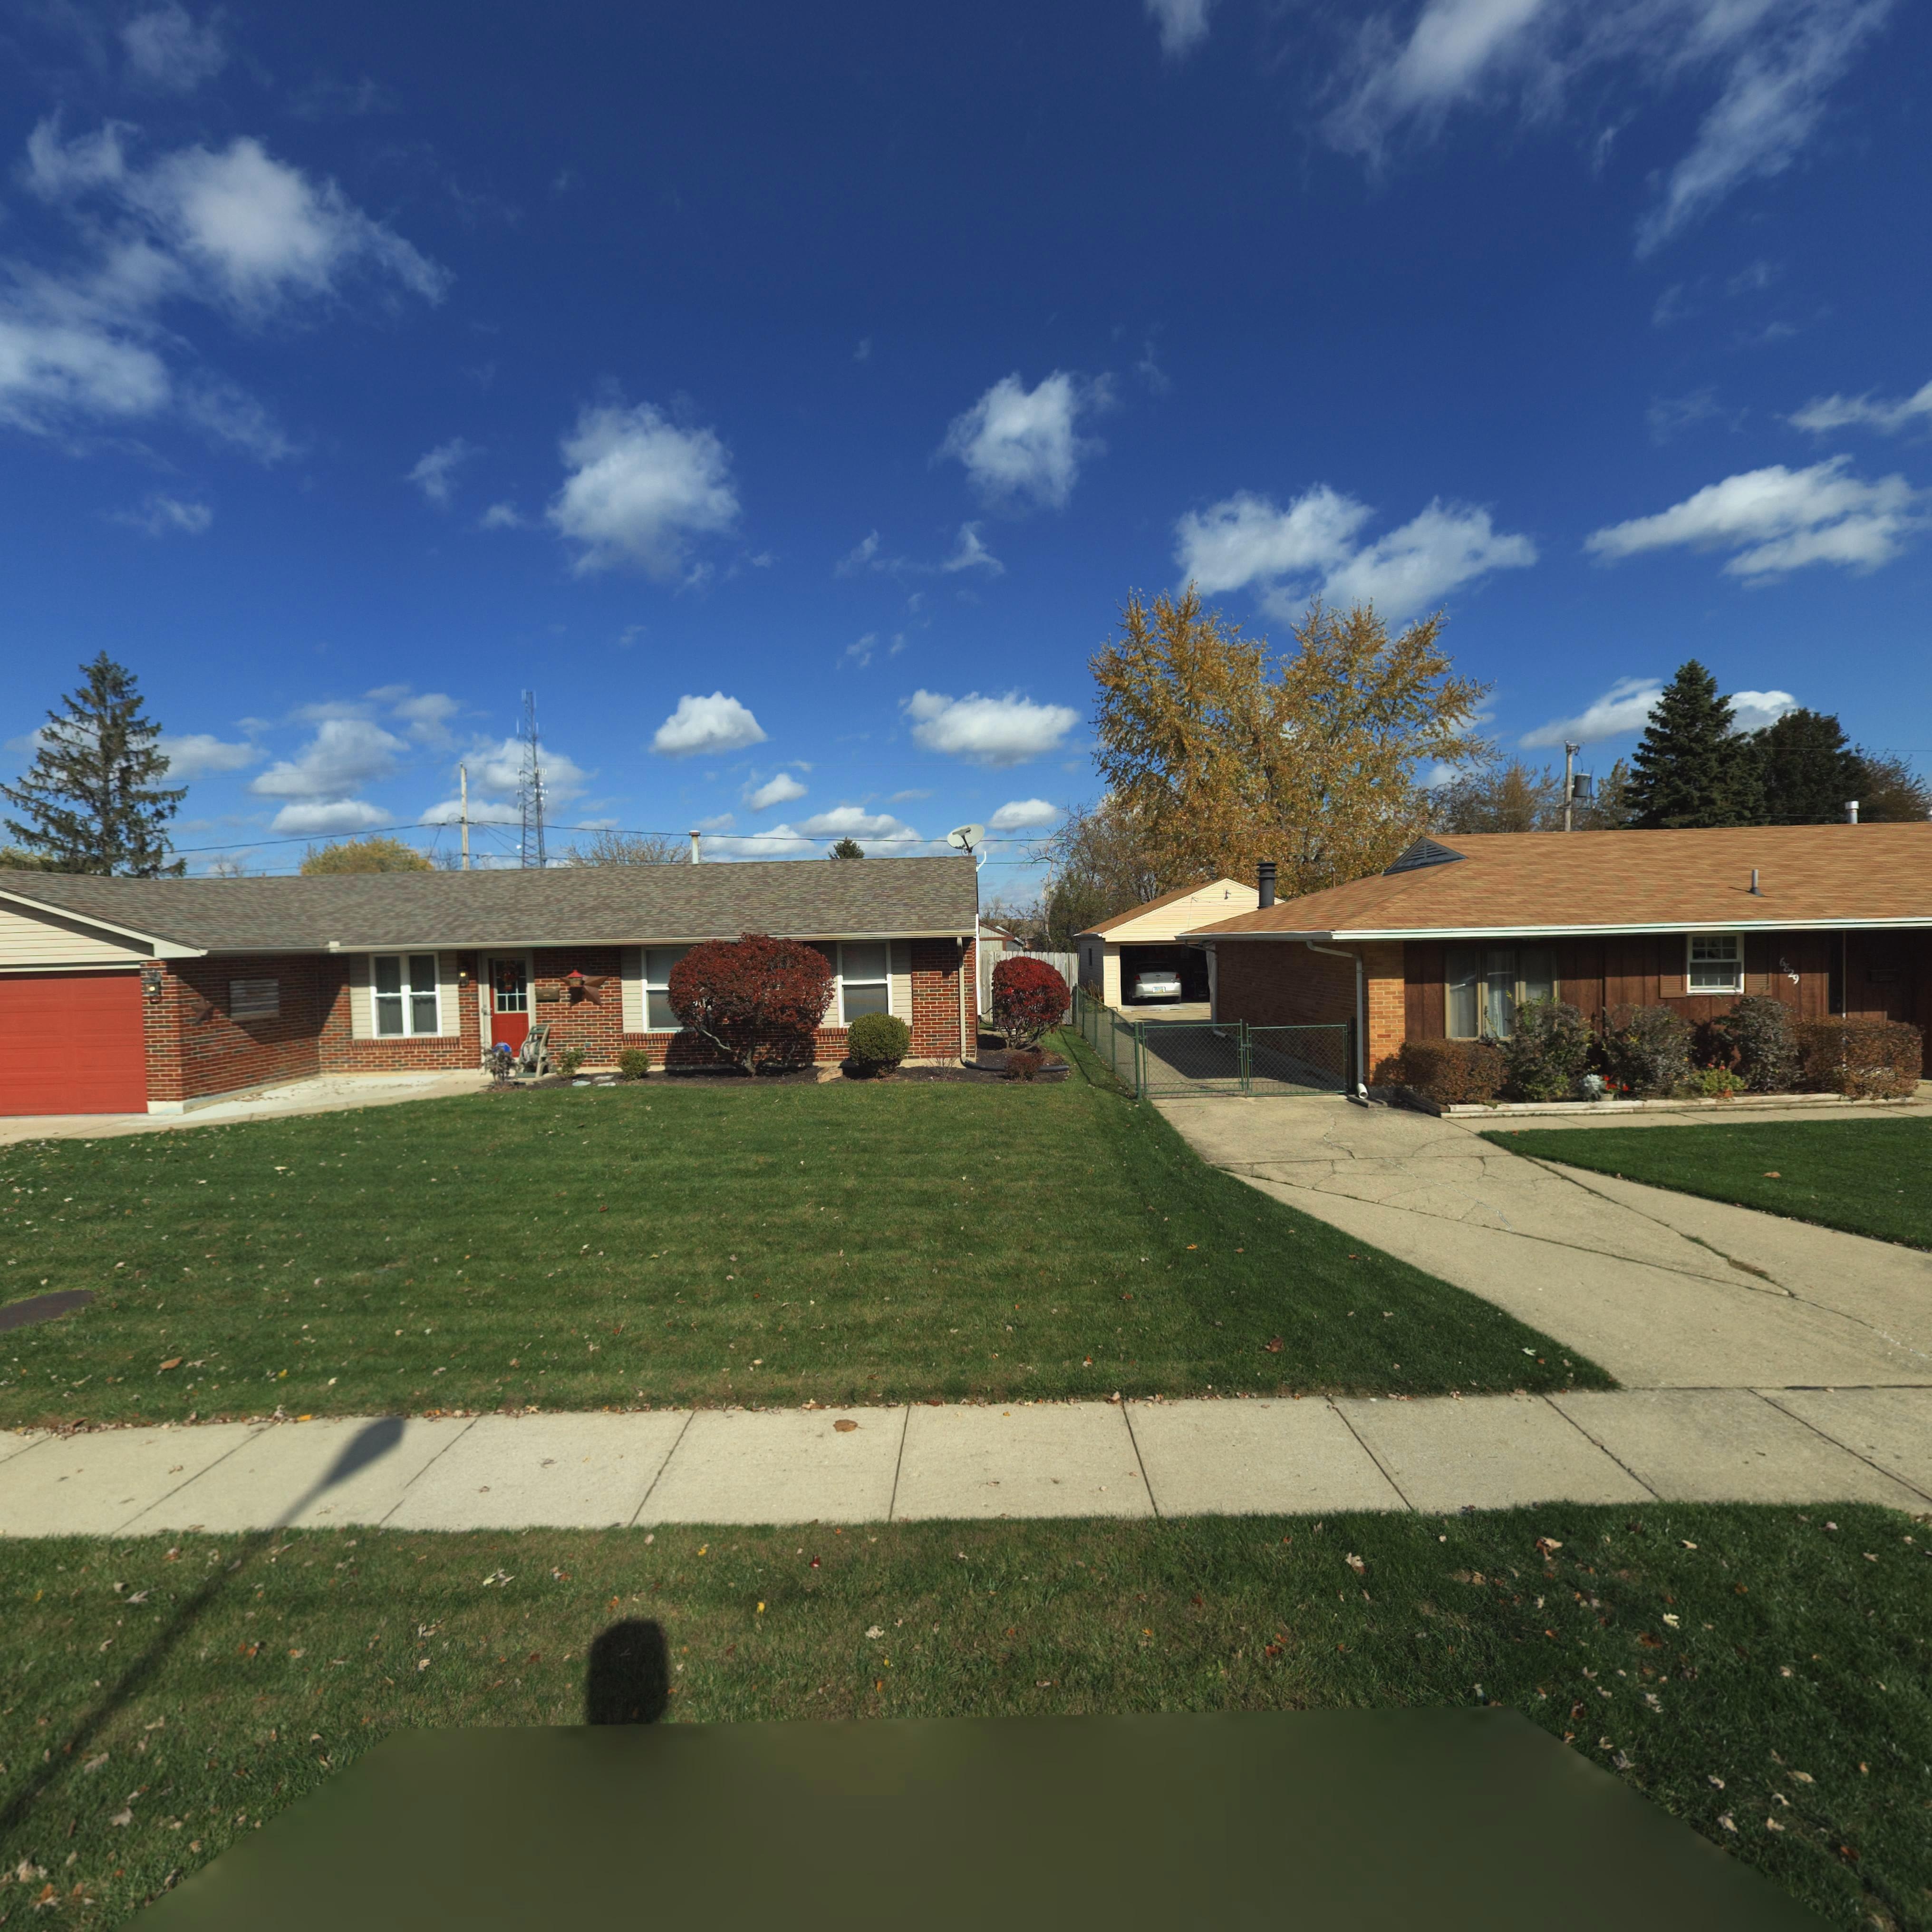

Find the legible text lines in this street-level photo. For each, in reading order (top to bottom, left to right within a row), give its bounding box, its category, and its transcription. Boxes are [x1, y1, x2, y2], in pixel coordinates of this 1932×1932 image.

[1779, 956, 1800, 985] StreetNumber: 6829